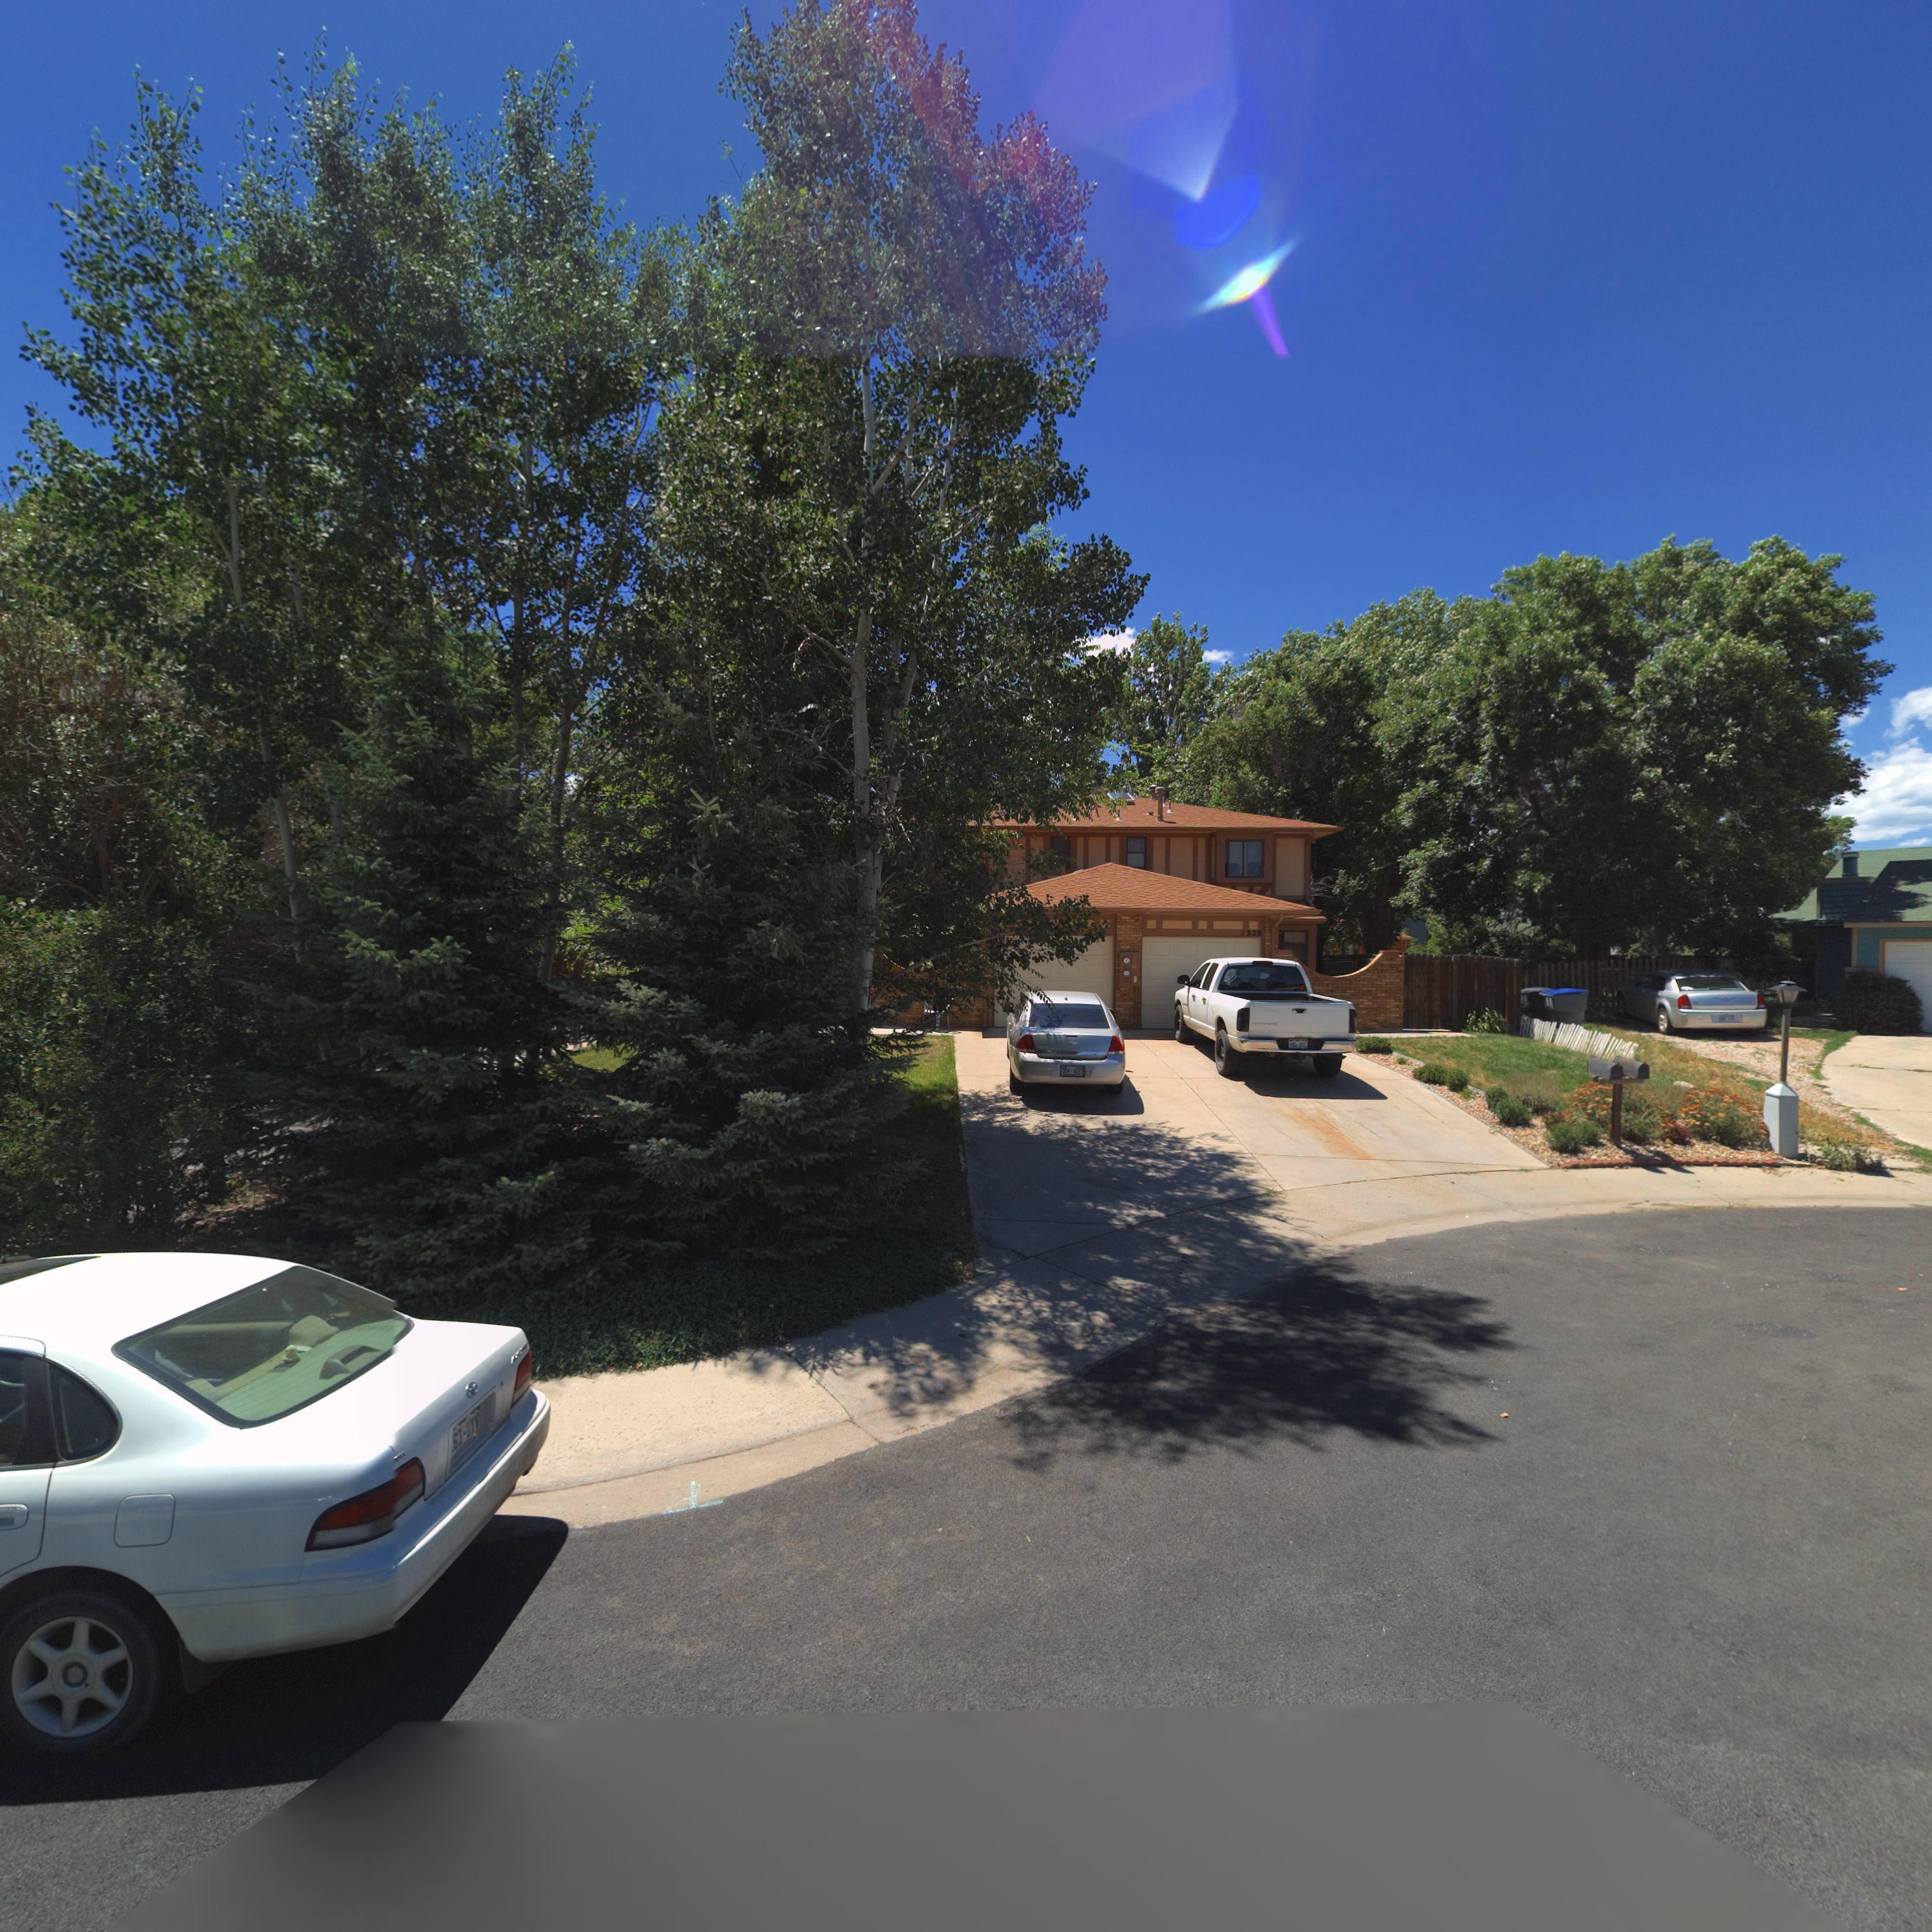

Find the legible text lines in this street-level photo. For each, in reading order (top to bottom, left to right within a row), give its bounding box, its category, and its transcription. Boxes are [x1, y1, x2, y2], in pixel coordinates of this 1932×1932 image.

[1241, 929, 1262, 937] StreetNumber: 1328